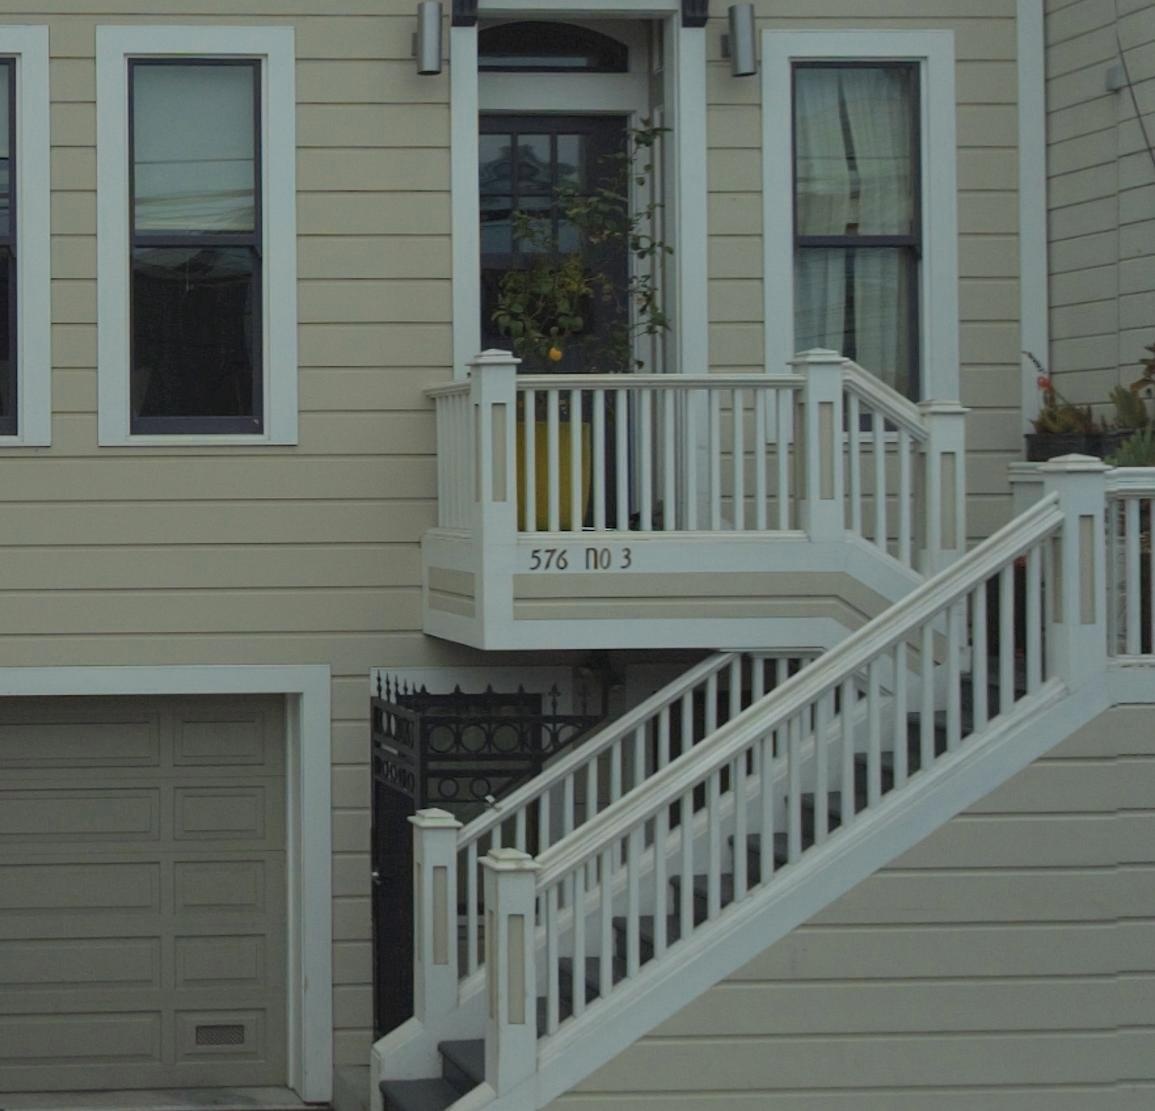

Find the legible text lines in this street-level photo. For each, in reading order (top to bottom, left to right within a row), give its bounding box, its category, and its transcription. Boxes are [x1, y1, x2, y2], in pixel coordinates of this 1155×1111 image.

[529, 547, 569, 572] StreetNumber: 576
[584, 547, 633, 571] None: no 3